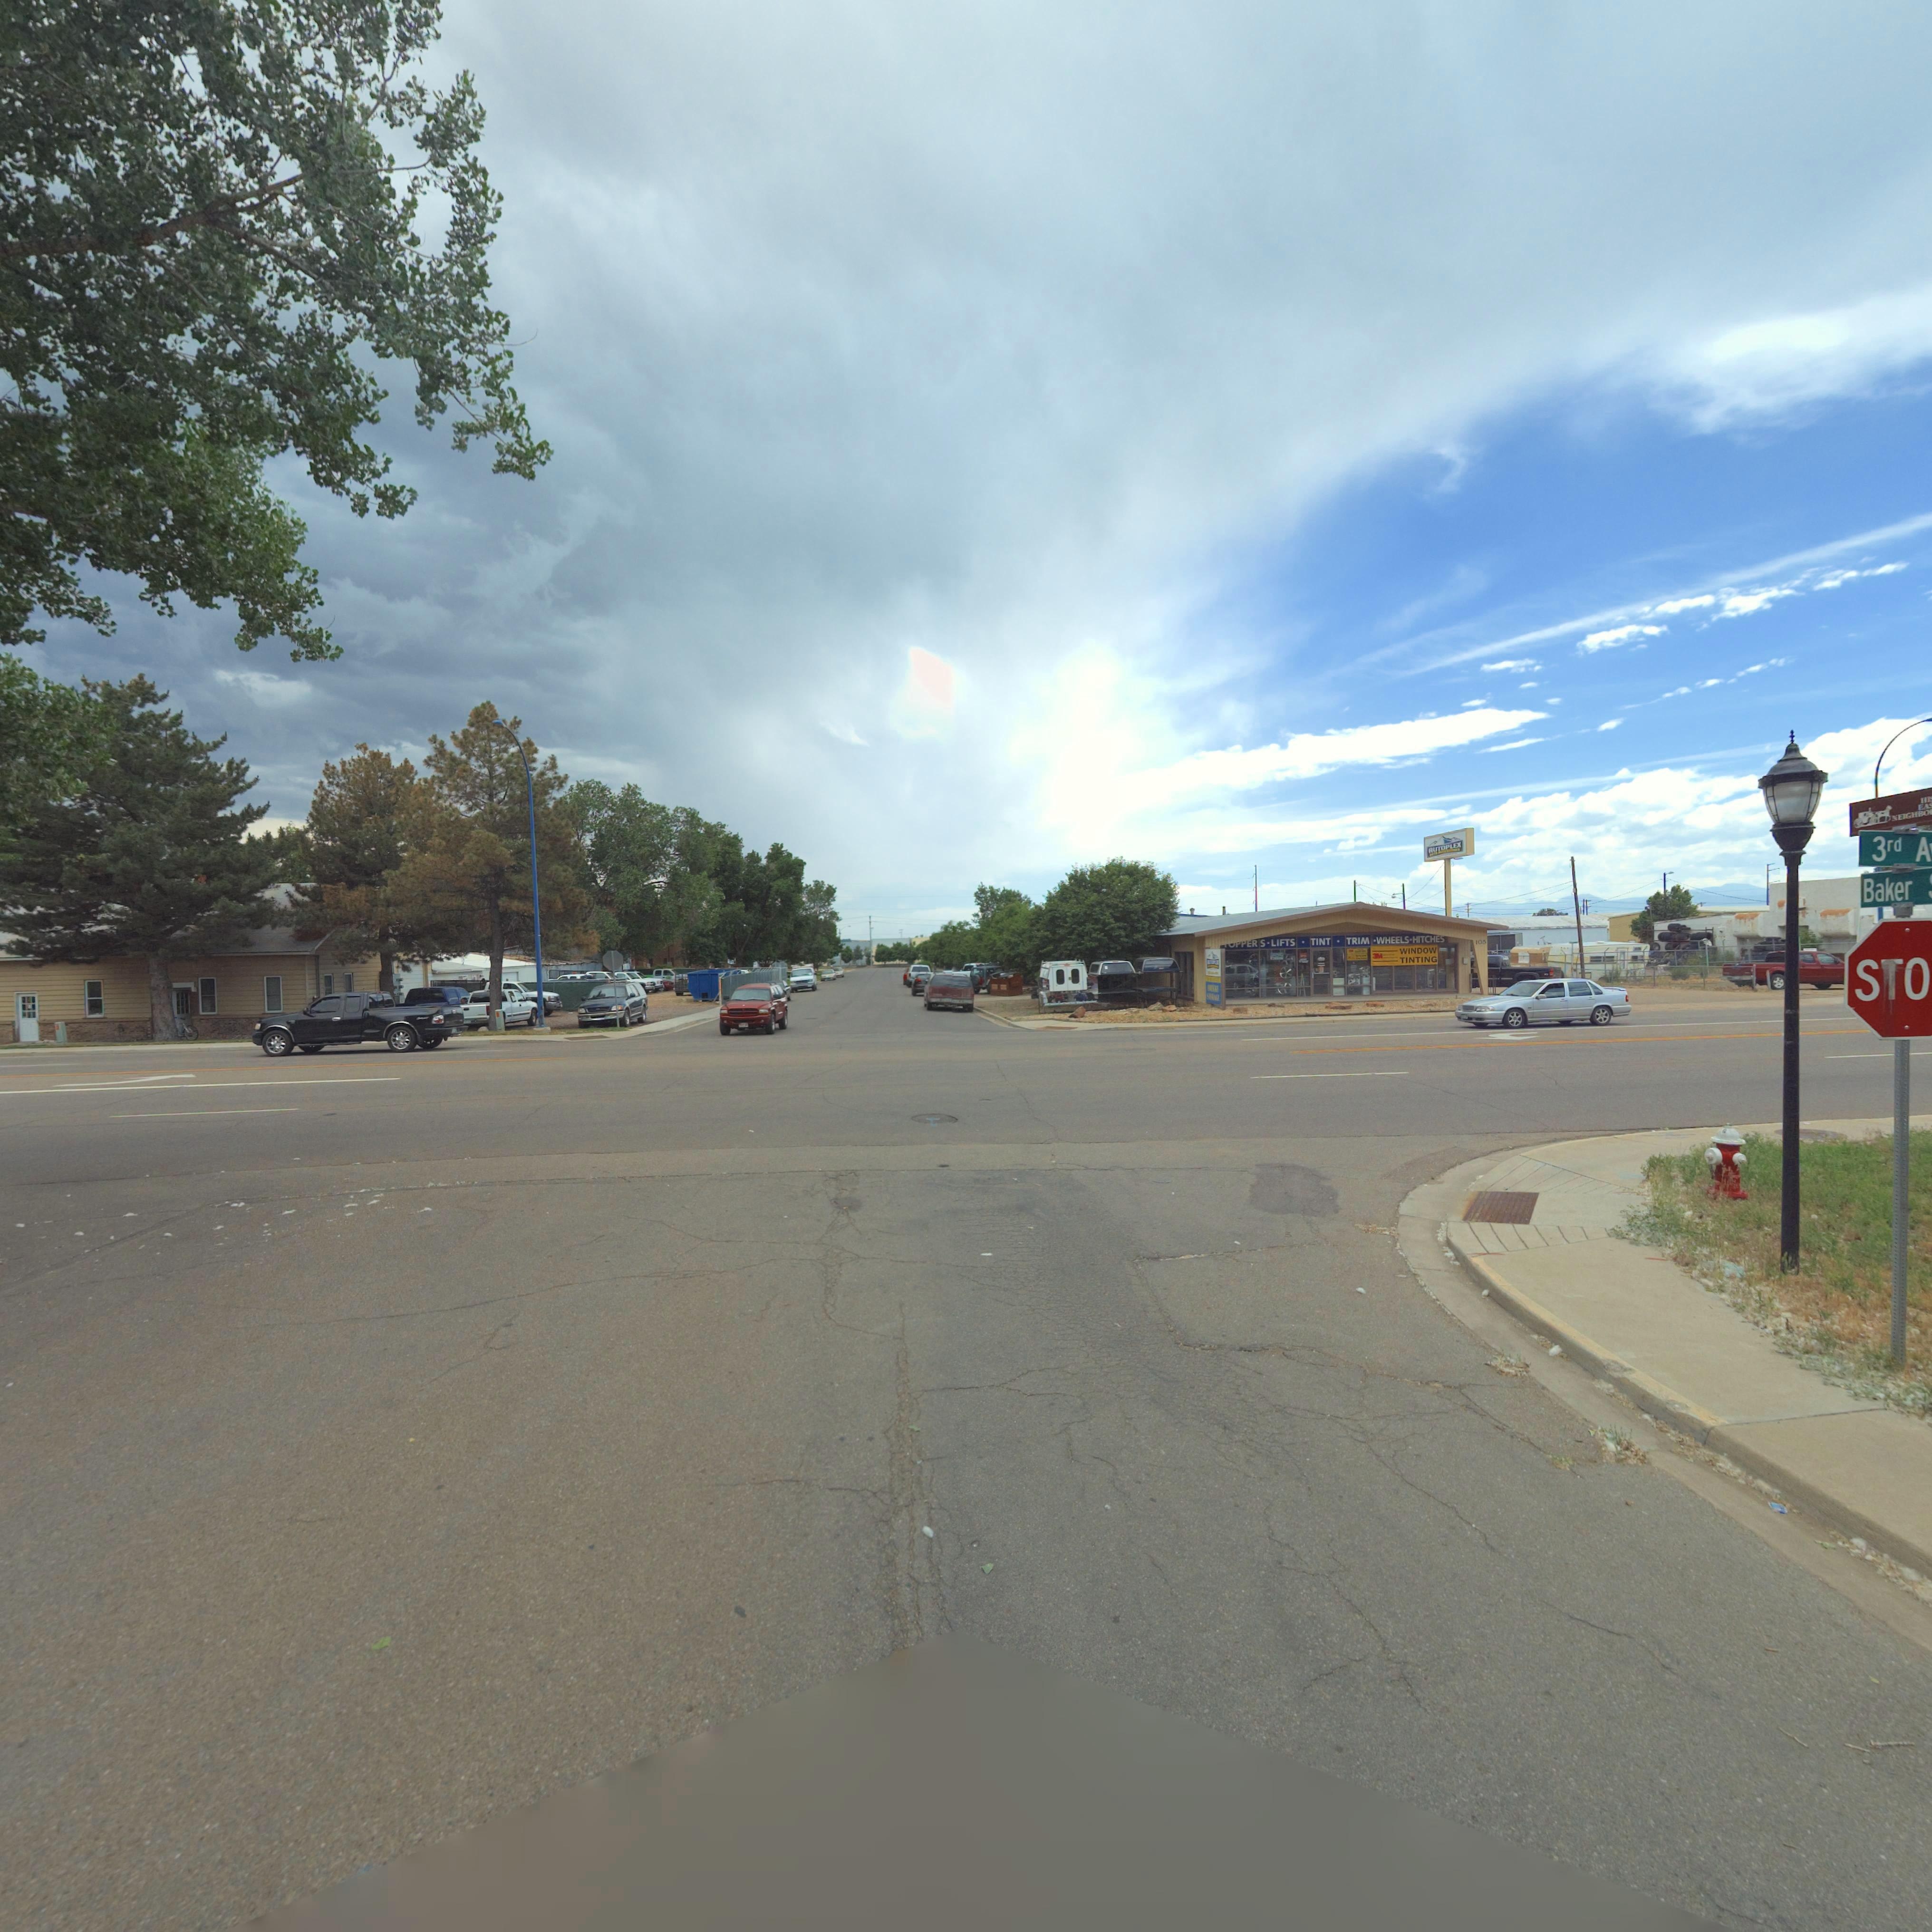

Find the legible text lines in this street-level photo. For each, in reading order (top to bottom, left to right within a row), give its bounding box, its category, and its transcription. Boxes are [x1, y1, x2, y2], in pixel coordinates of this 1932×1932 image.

[1429, 841, 1461, 853] BusinessName: AUTOPLEX
[1872, 834, 1931, 862] StreetName: 3rd A
[1863, 877, 1913, 903] StreetName: Baker
[1476, 939, 1486, 944] StreetNumber: 105